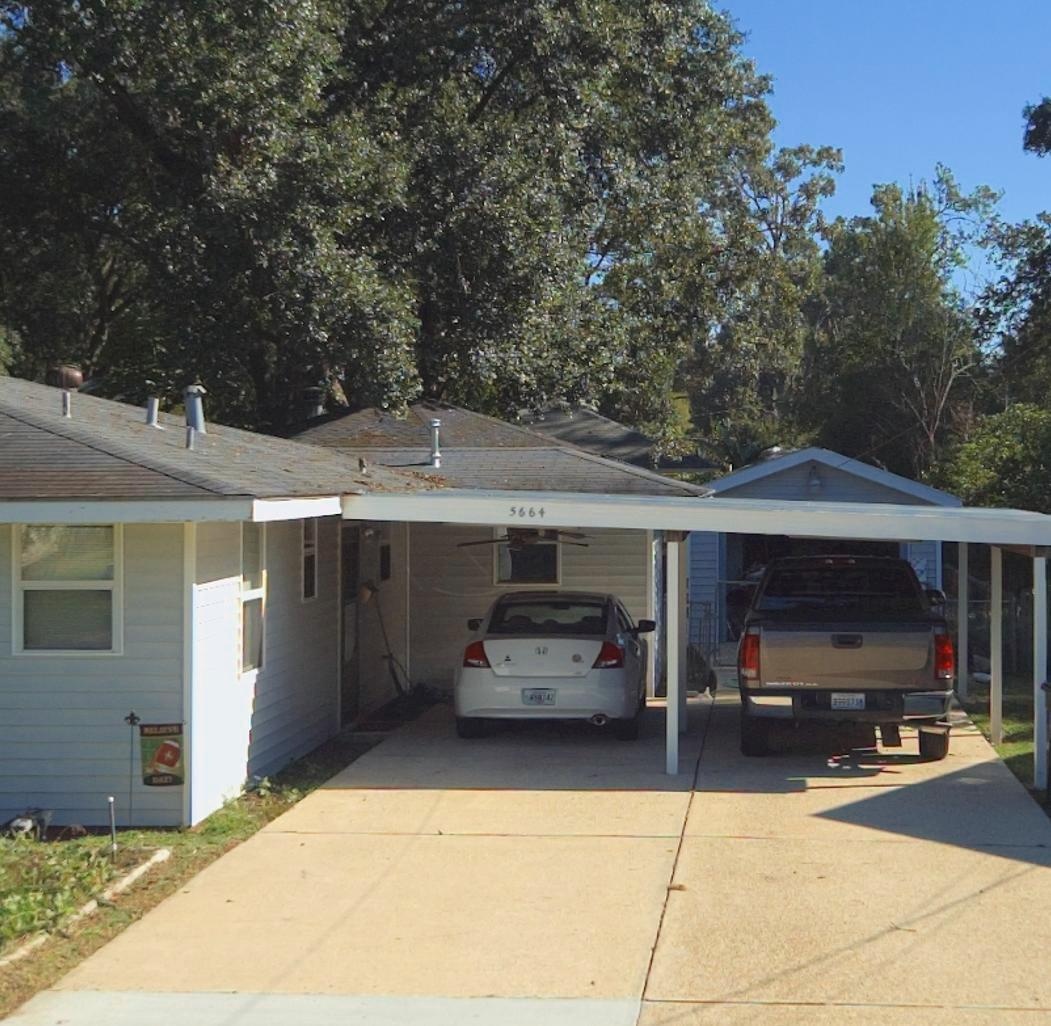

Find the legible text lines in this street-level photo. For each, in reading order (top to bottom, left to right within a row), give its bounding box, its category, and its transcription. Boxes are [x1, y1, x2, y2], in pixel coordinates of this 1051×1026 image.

[507, 505, 547, 519] StreetNumber: 5664